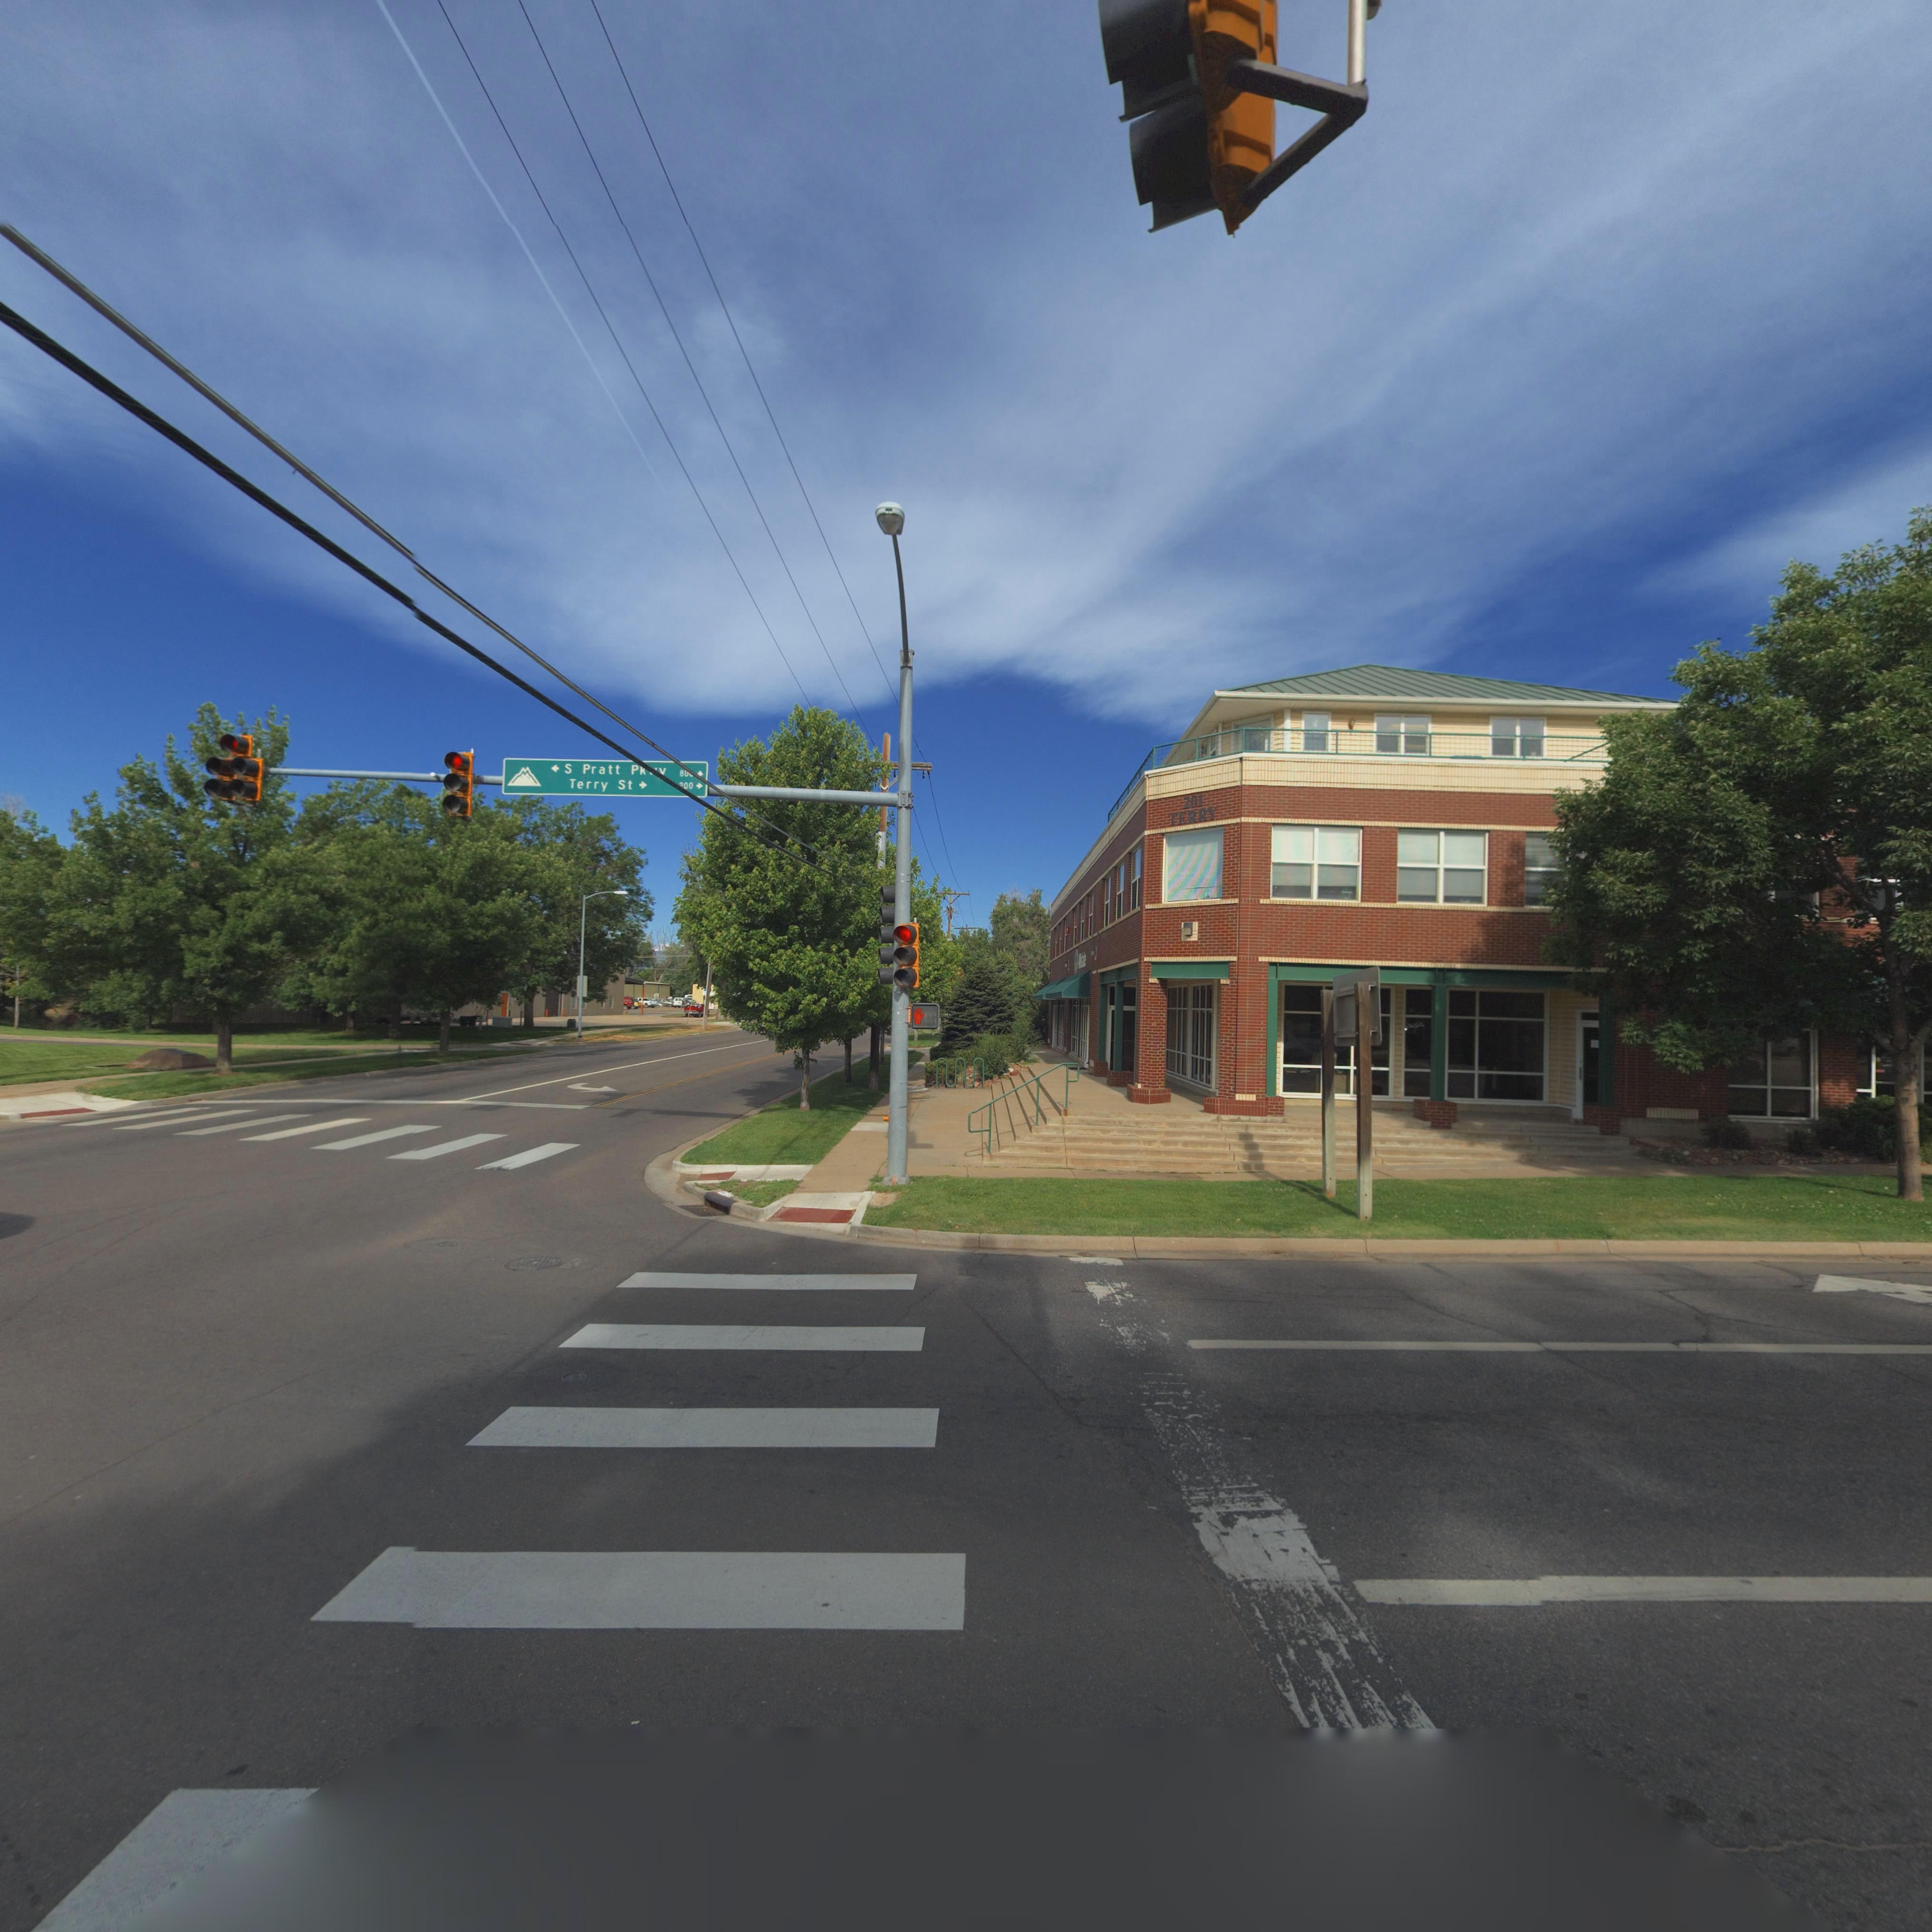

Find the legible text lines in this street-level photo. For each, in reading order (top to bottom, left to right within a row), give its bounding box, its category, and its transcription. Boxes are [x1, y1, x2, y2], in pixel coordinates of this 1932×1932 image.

[563, 763, 667, 777] StreetName: S Pratt Pk**
[678, 769, 694, 777] StreetNumberRange: 80*
[568, 777, 635, 792] StreetName: Terry St
[678, 780, 705, 790] StreetNumberRange: *00->
[1183, 793, 1203, 809] StreetNumber: 201
[1168, 806, 1217, 826] StreetName: TERRY